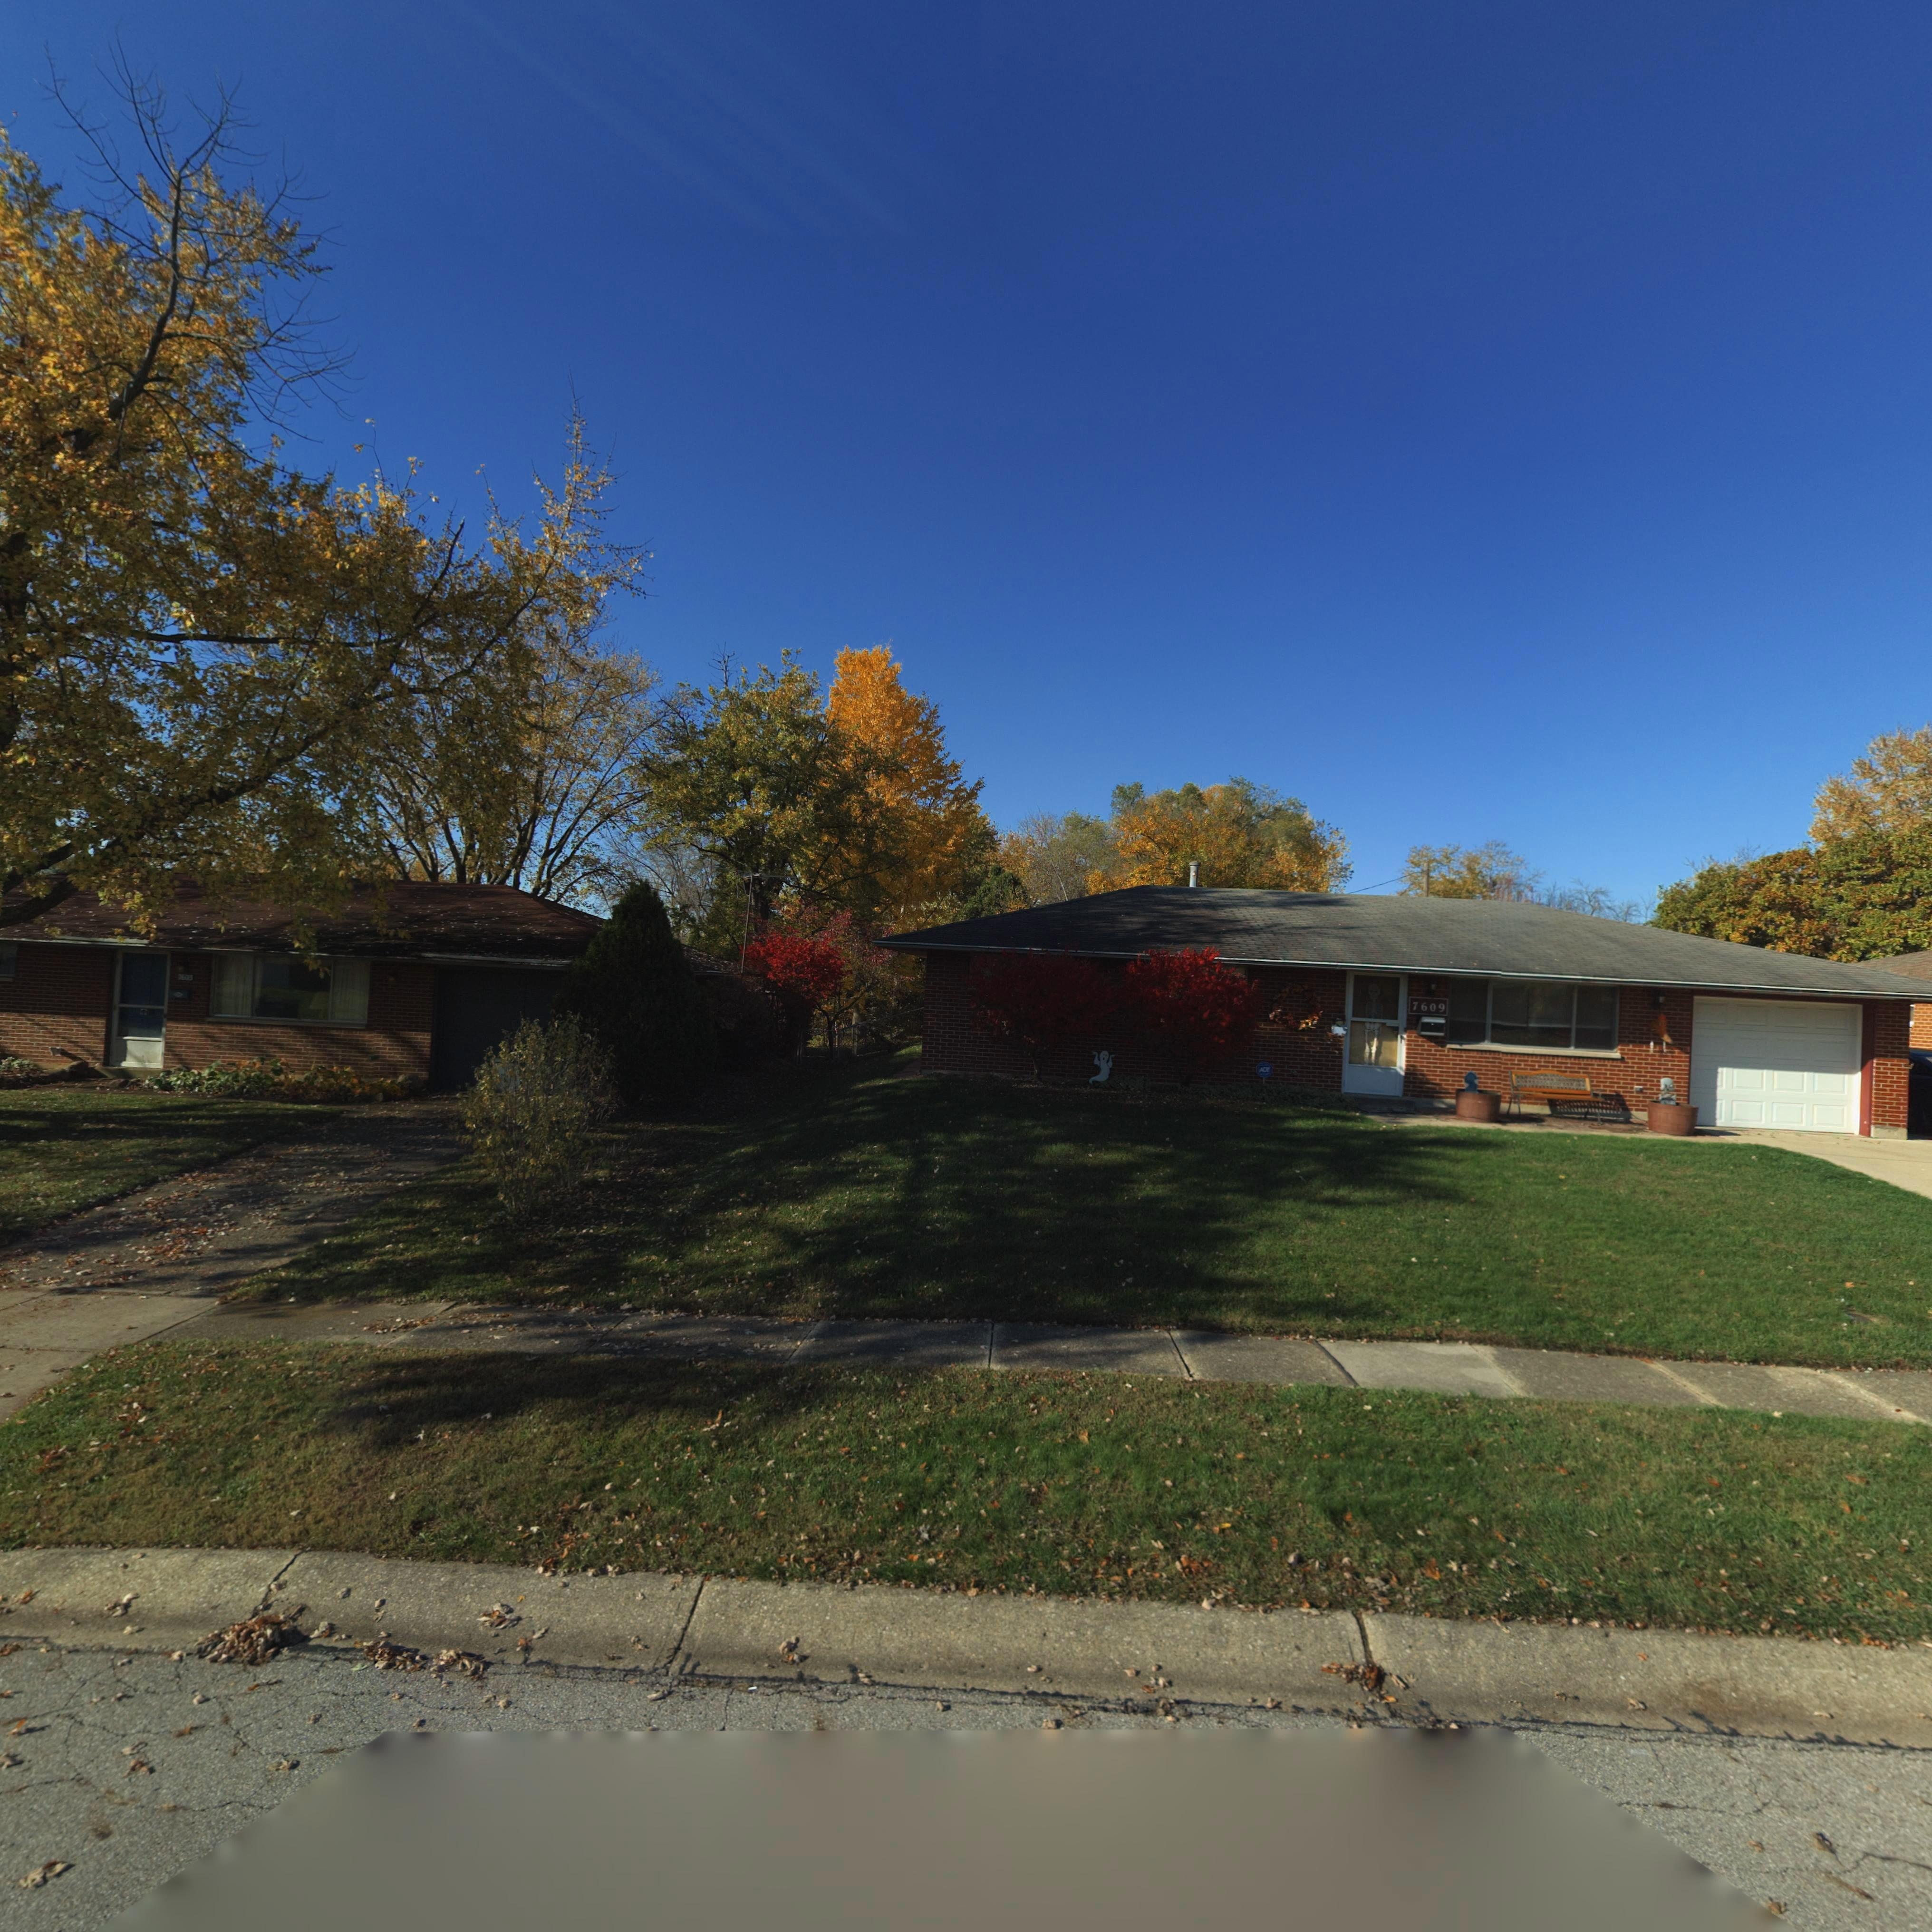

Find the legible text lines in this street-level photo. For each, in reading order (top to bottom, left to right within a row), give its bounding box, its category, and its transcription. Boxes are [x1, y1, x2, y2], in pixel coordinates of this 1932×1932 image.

[176, 973, 195, 982] StreetNumber: 7603
[1412, 1001, 1446, 1013] StreetNumber: 7609